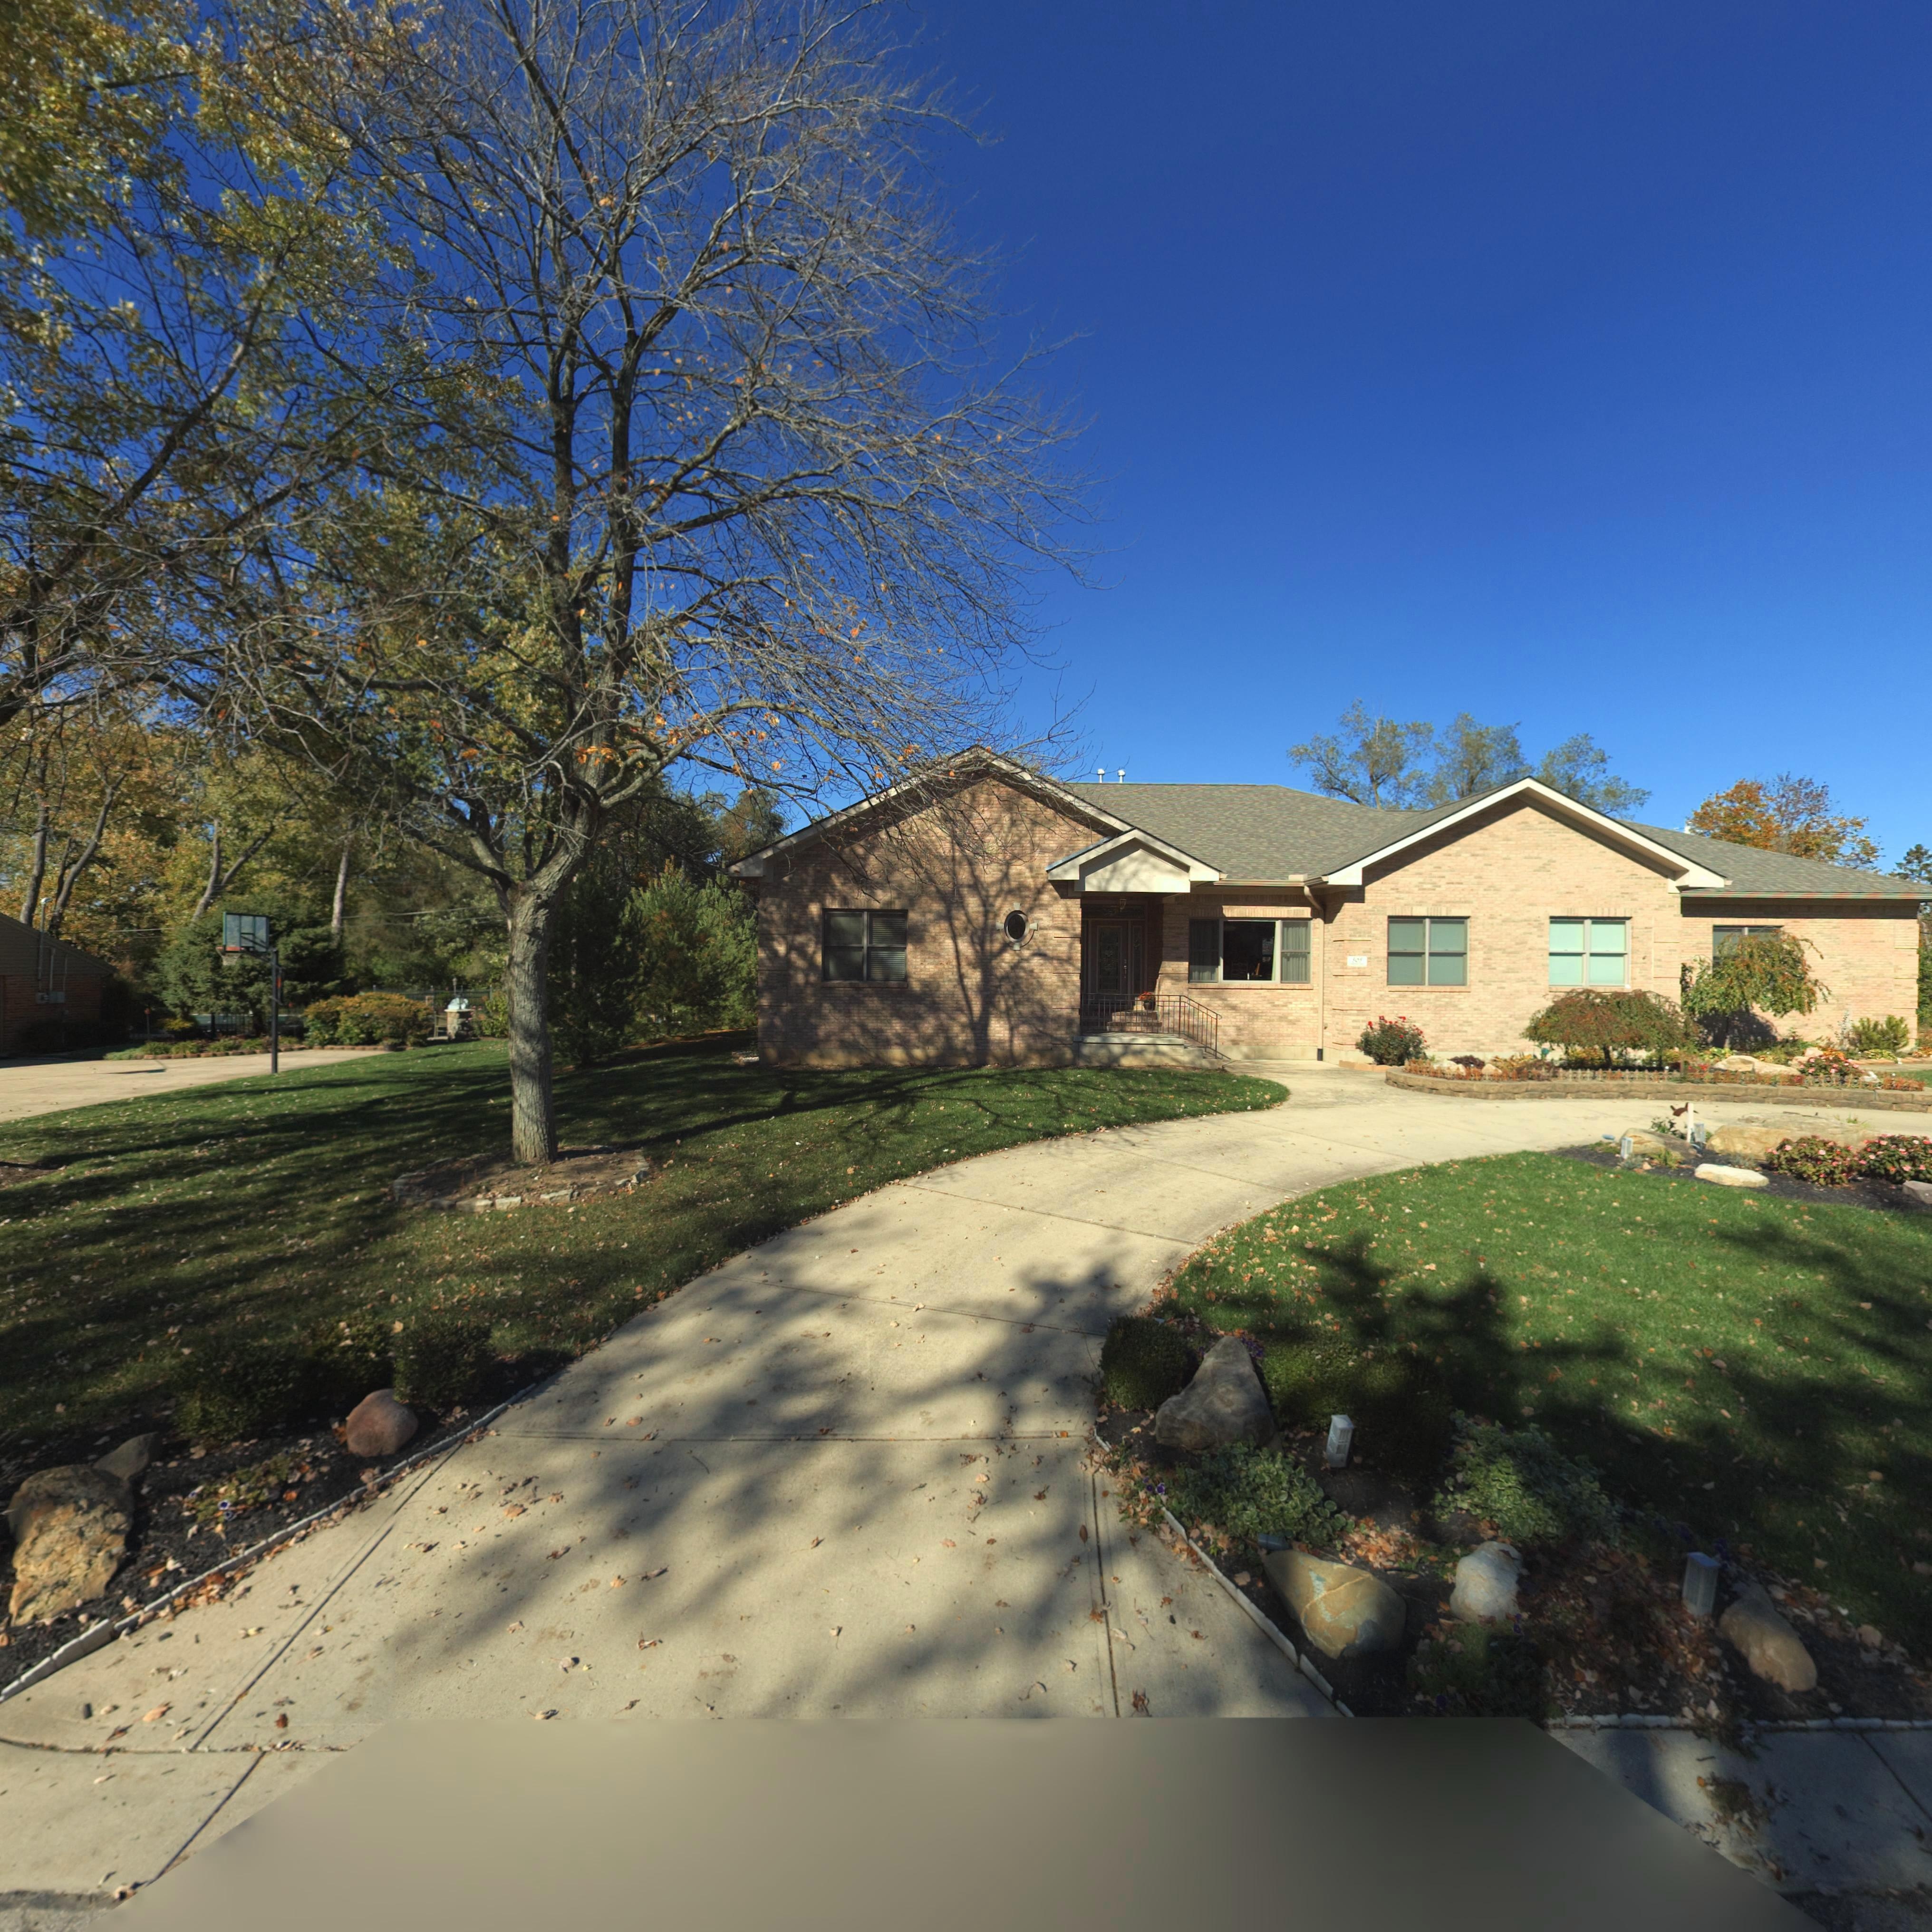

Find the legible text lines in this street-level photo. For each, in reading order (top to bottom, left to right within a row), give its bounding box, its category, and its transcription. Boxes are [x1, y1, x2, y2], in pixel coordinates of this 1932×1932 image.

[1352, 957, 1363, 963] StreetNumber: 503